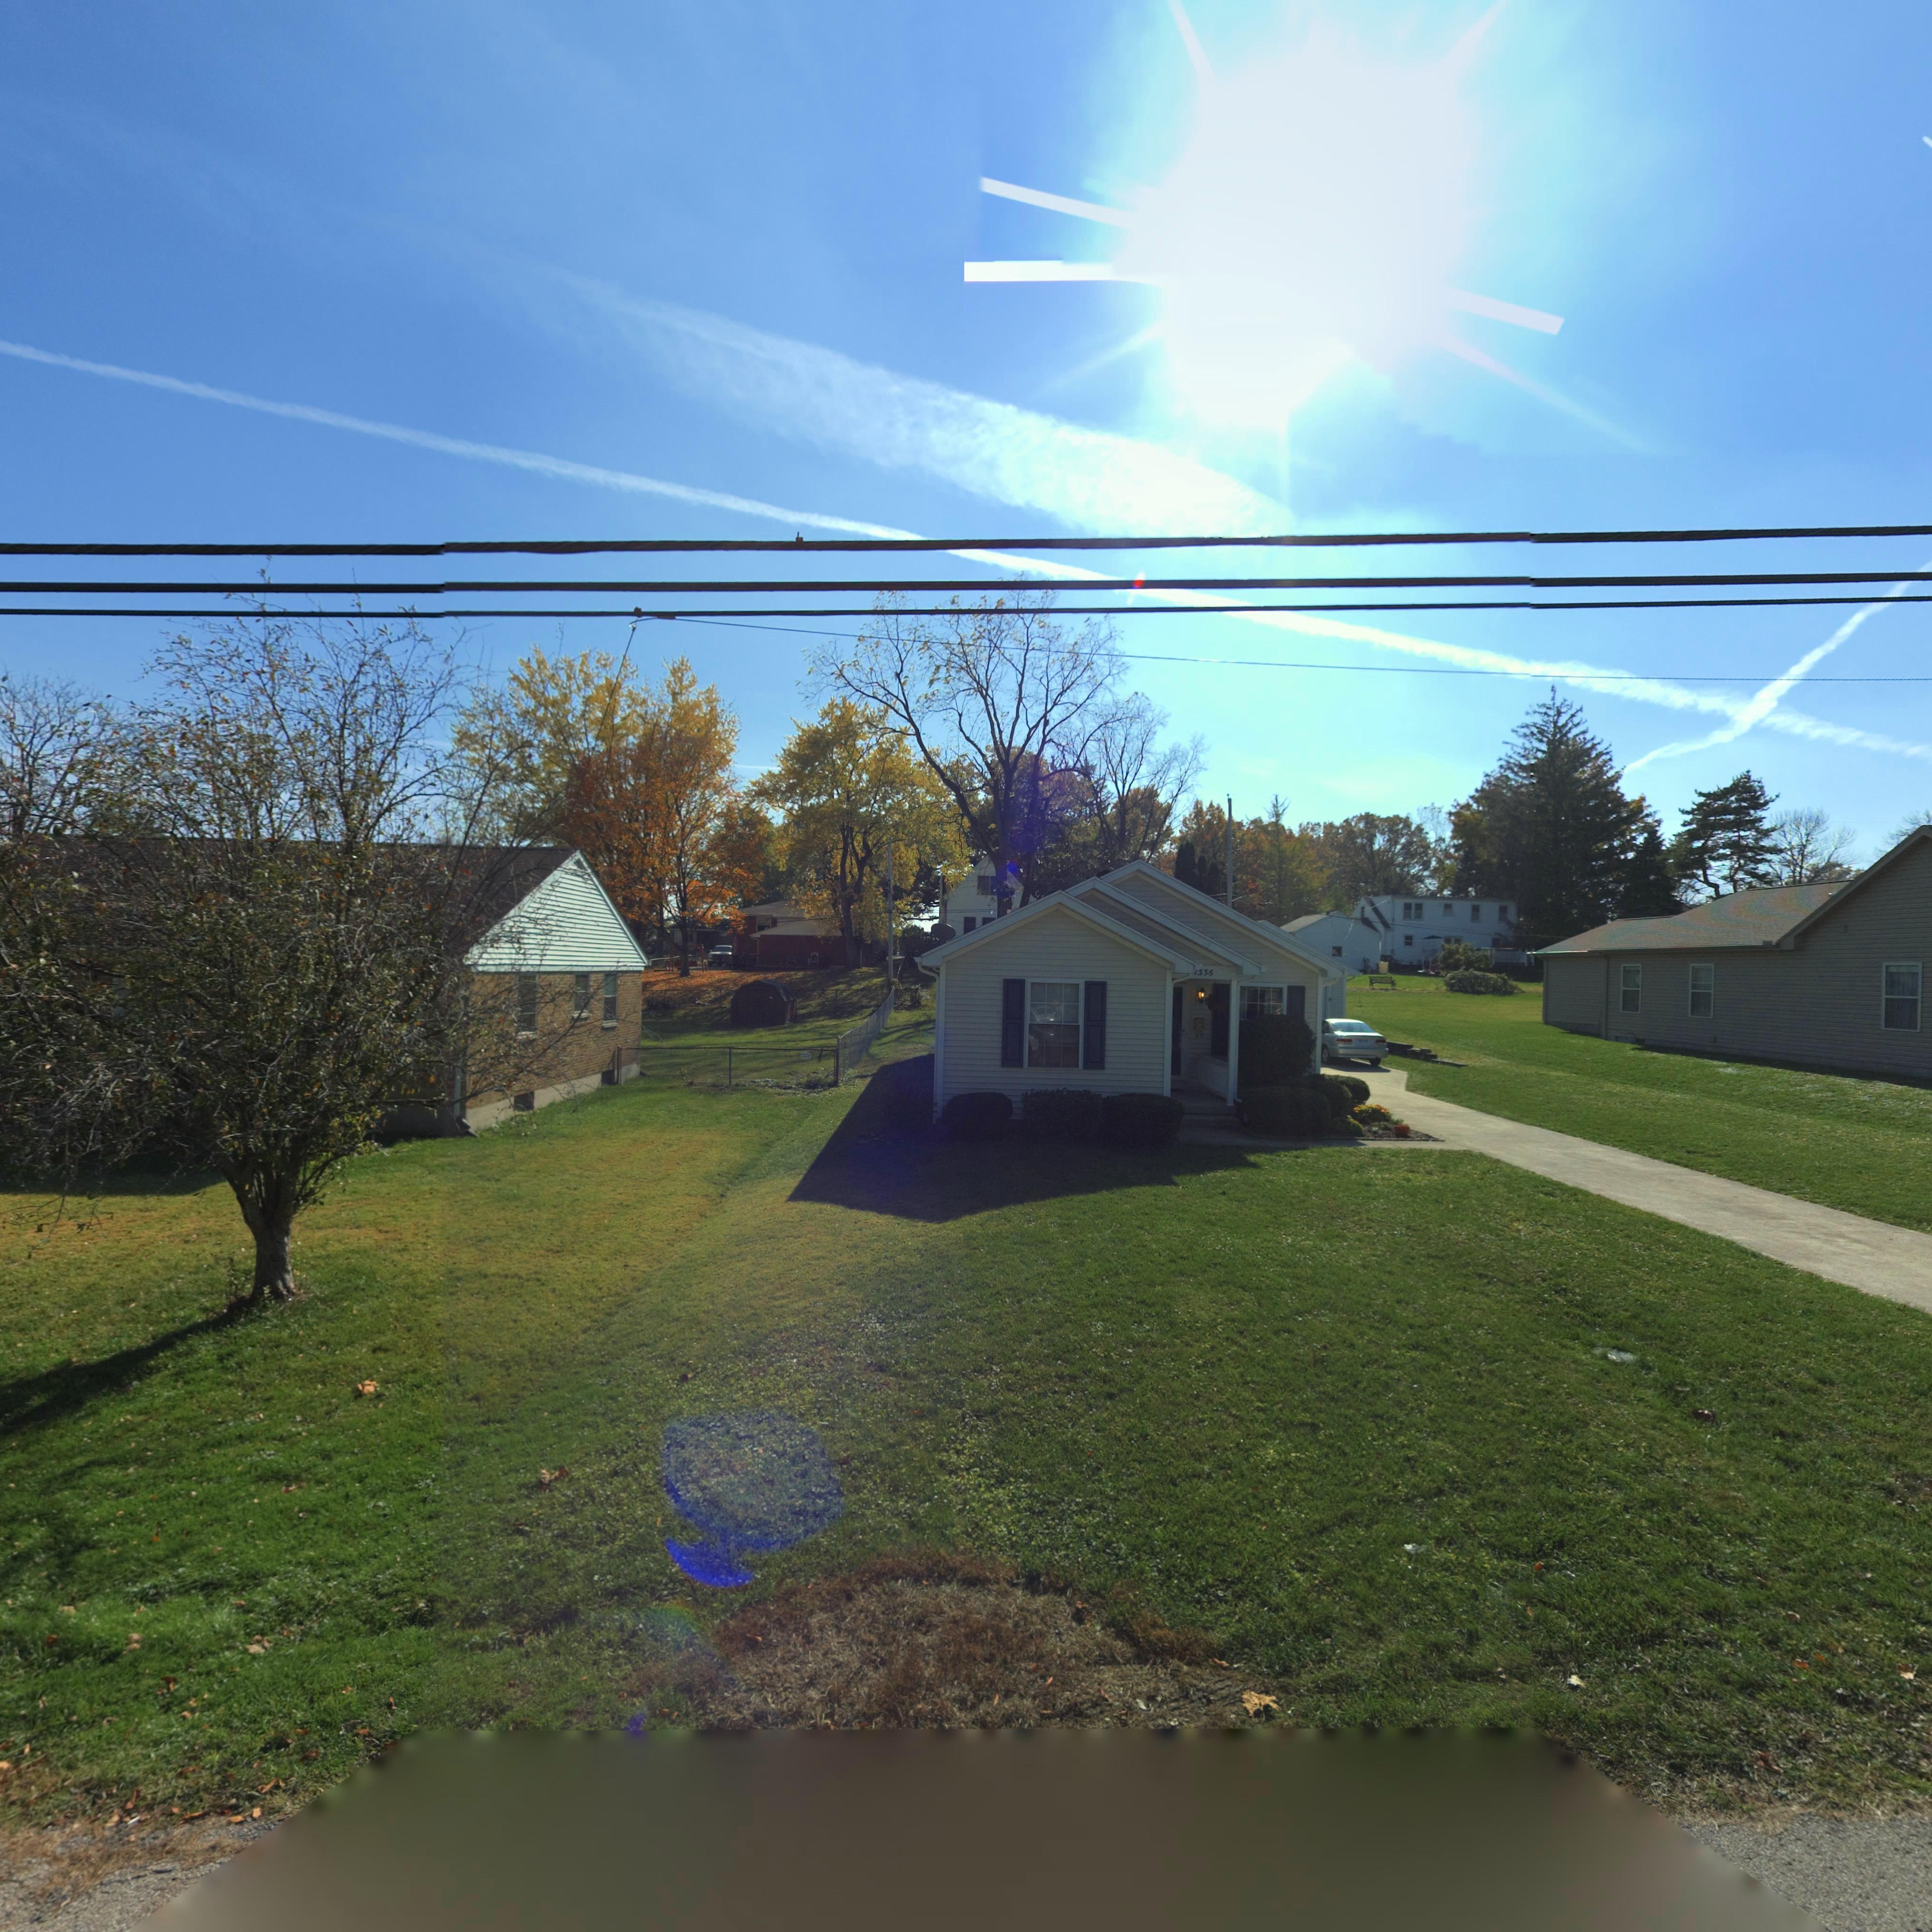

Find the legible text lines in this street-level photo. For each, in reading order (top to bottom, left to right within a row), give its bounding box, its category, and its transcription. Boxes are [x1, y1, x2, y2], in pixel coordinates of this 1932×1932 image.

[1192, 968, 1215, 977] StreetNumber: 1*56